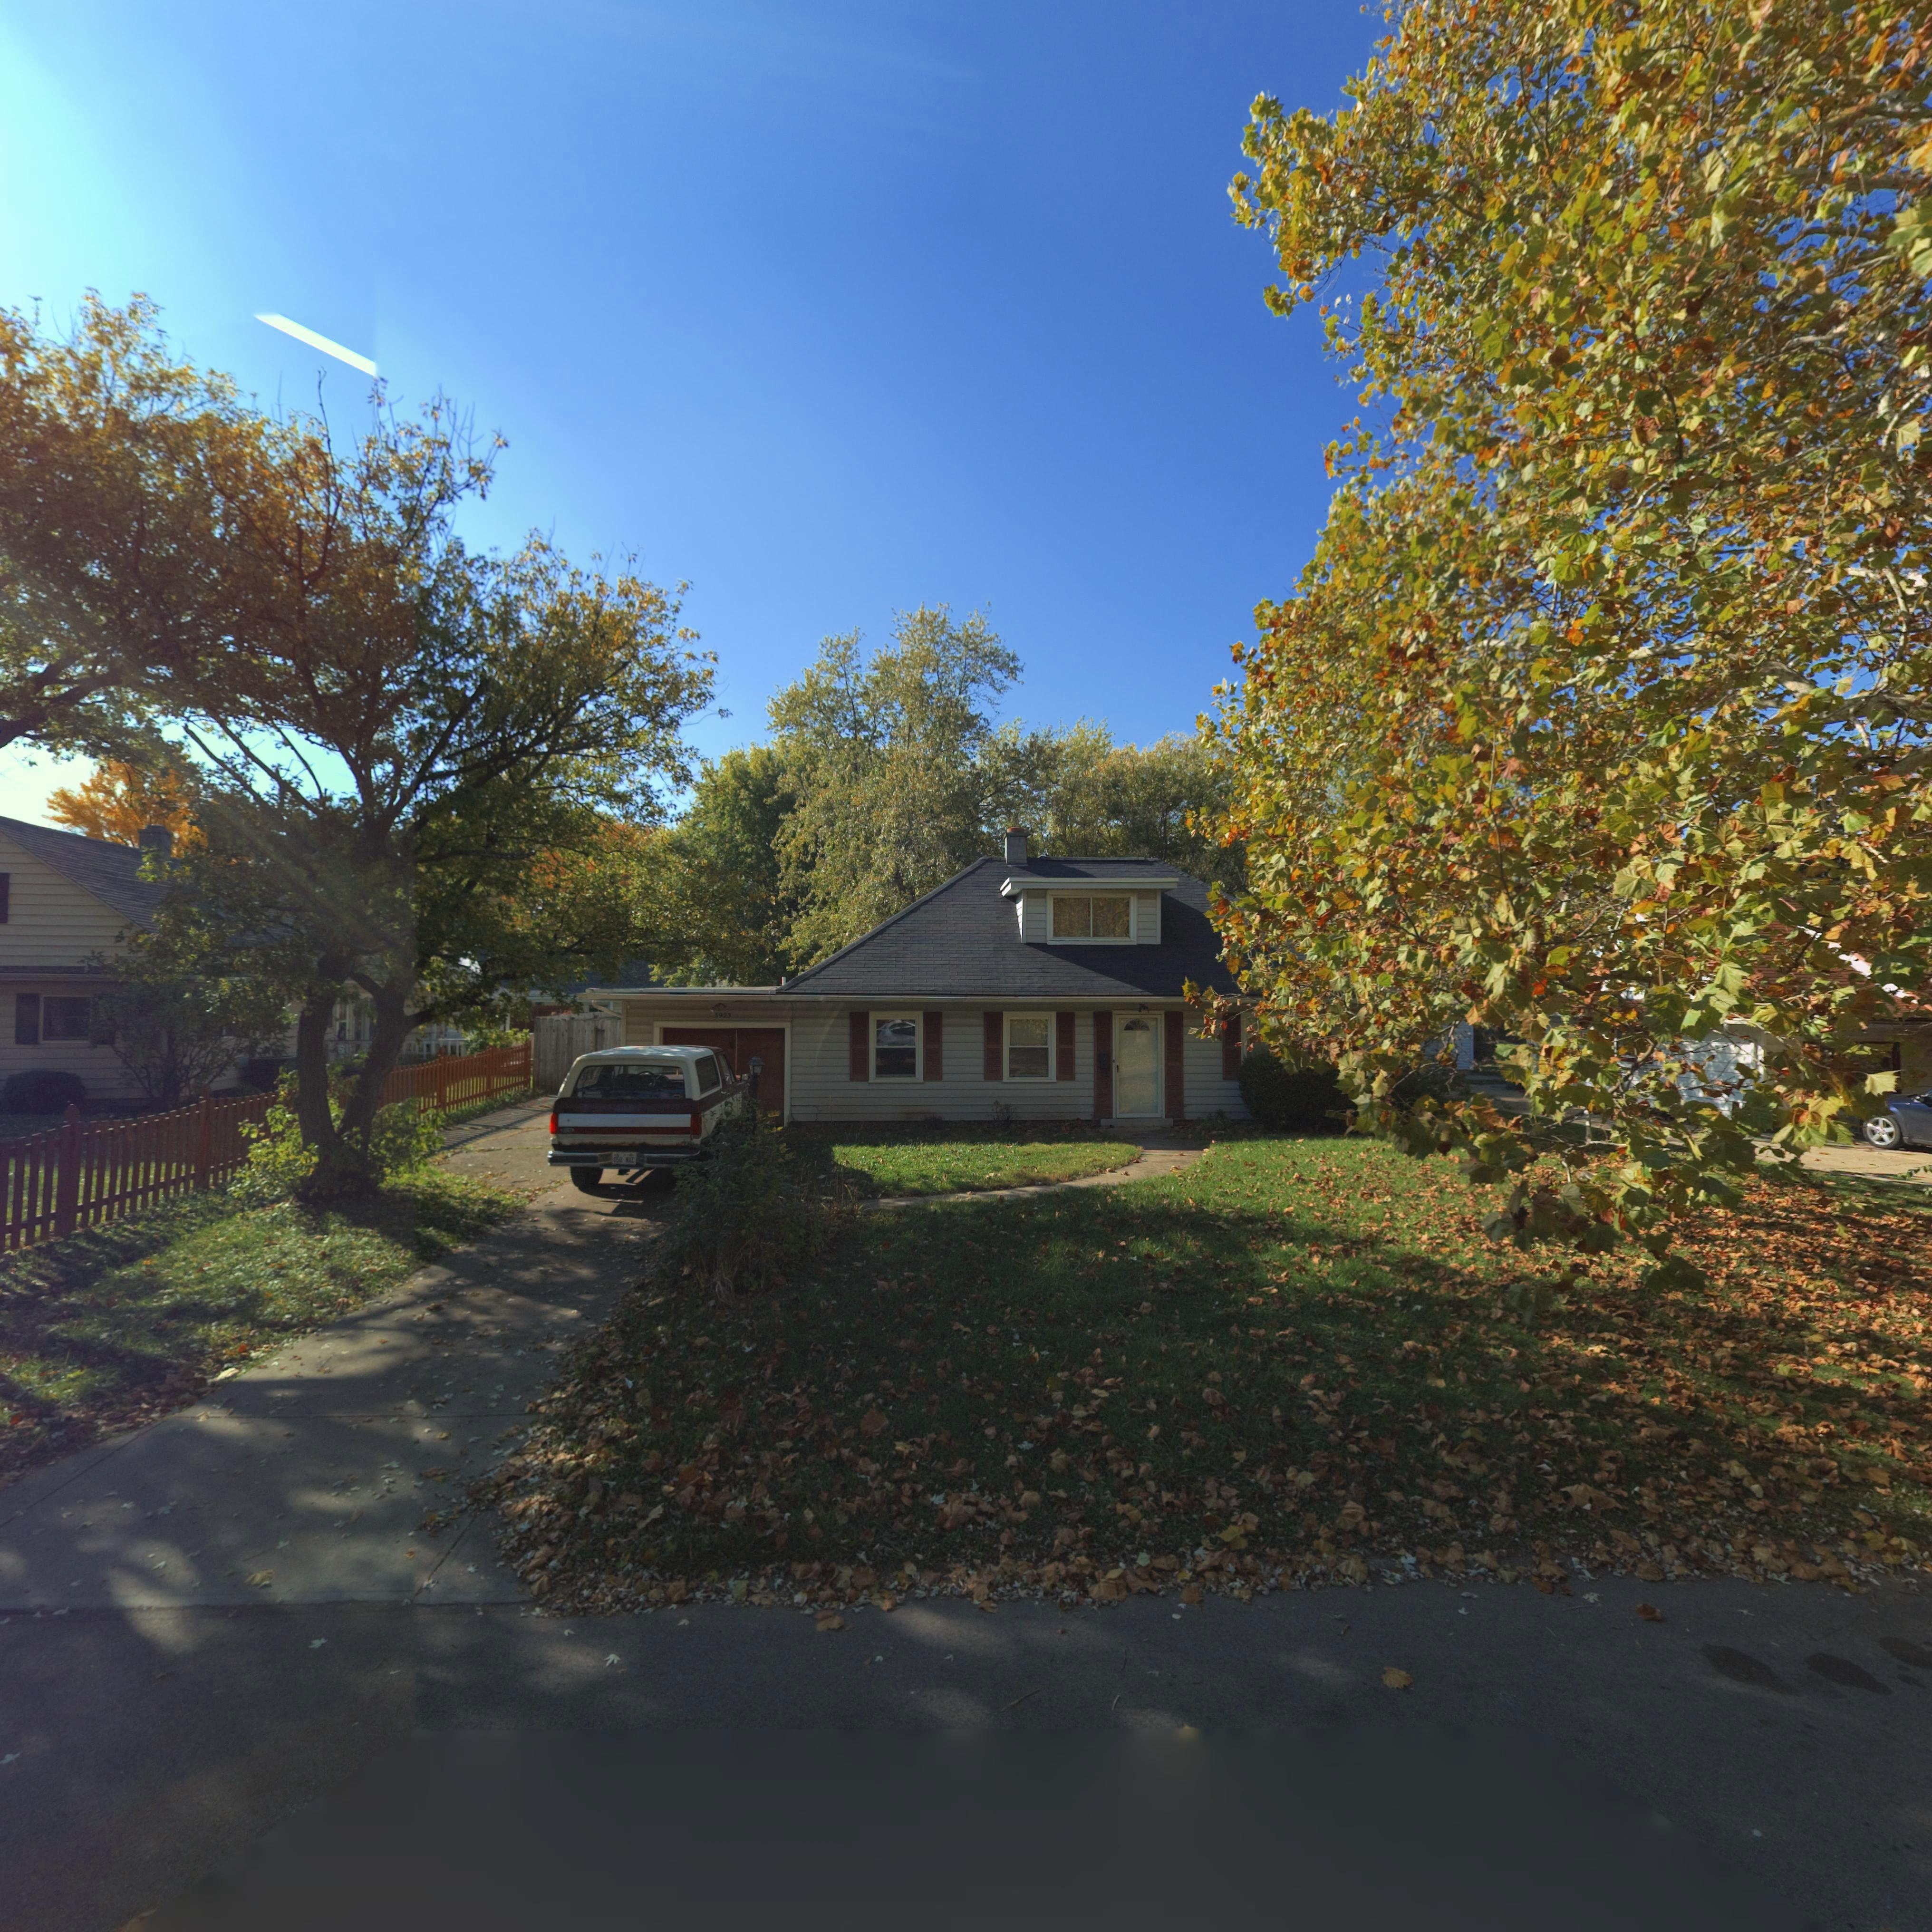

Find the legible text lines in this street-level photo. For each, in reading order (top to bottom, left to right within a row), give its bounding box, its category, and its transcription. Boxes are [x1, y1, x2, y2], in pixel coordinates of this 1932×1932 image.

[714, 1012, 731, 1019] StreetNumber: 3923